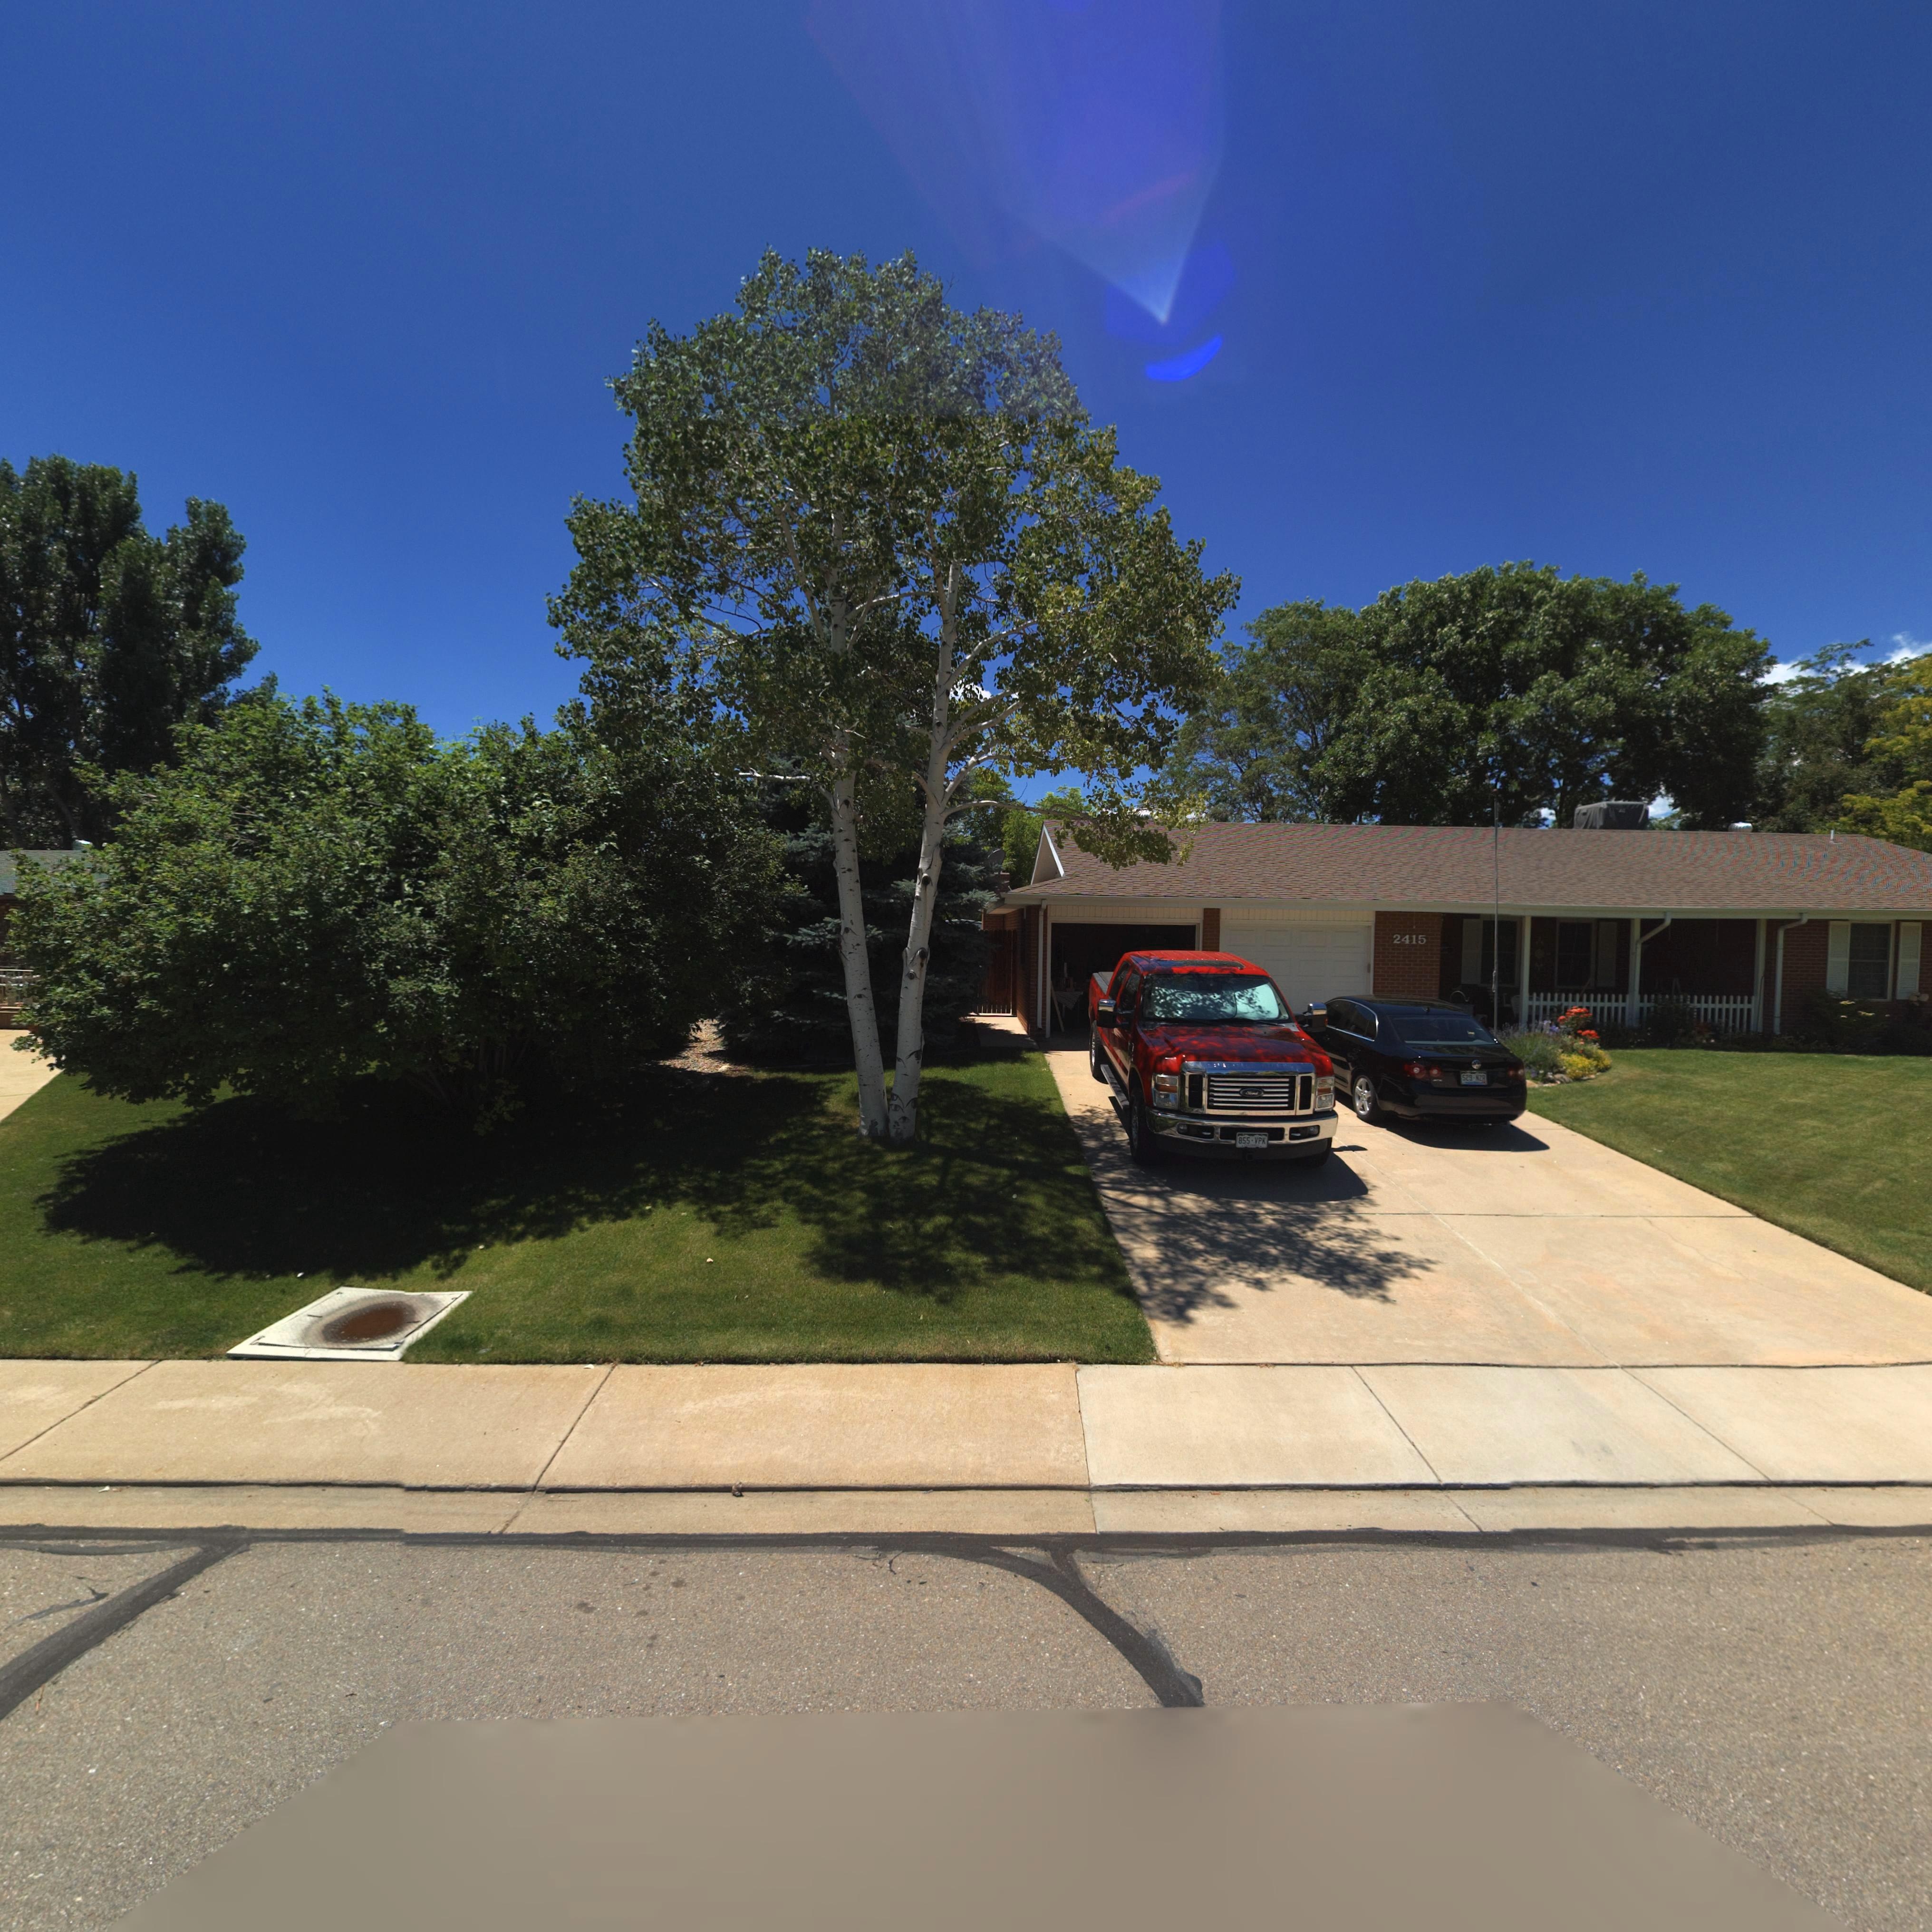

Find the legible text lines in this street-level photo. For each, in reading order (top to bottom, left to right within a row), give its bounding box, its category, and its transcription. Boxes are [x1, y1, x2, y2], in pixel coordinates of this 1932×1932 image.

[1392, 934, 1426, 944] StreetNumber: 2415